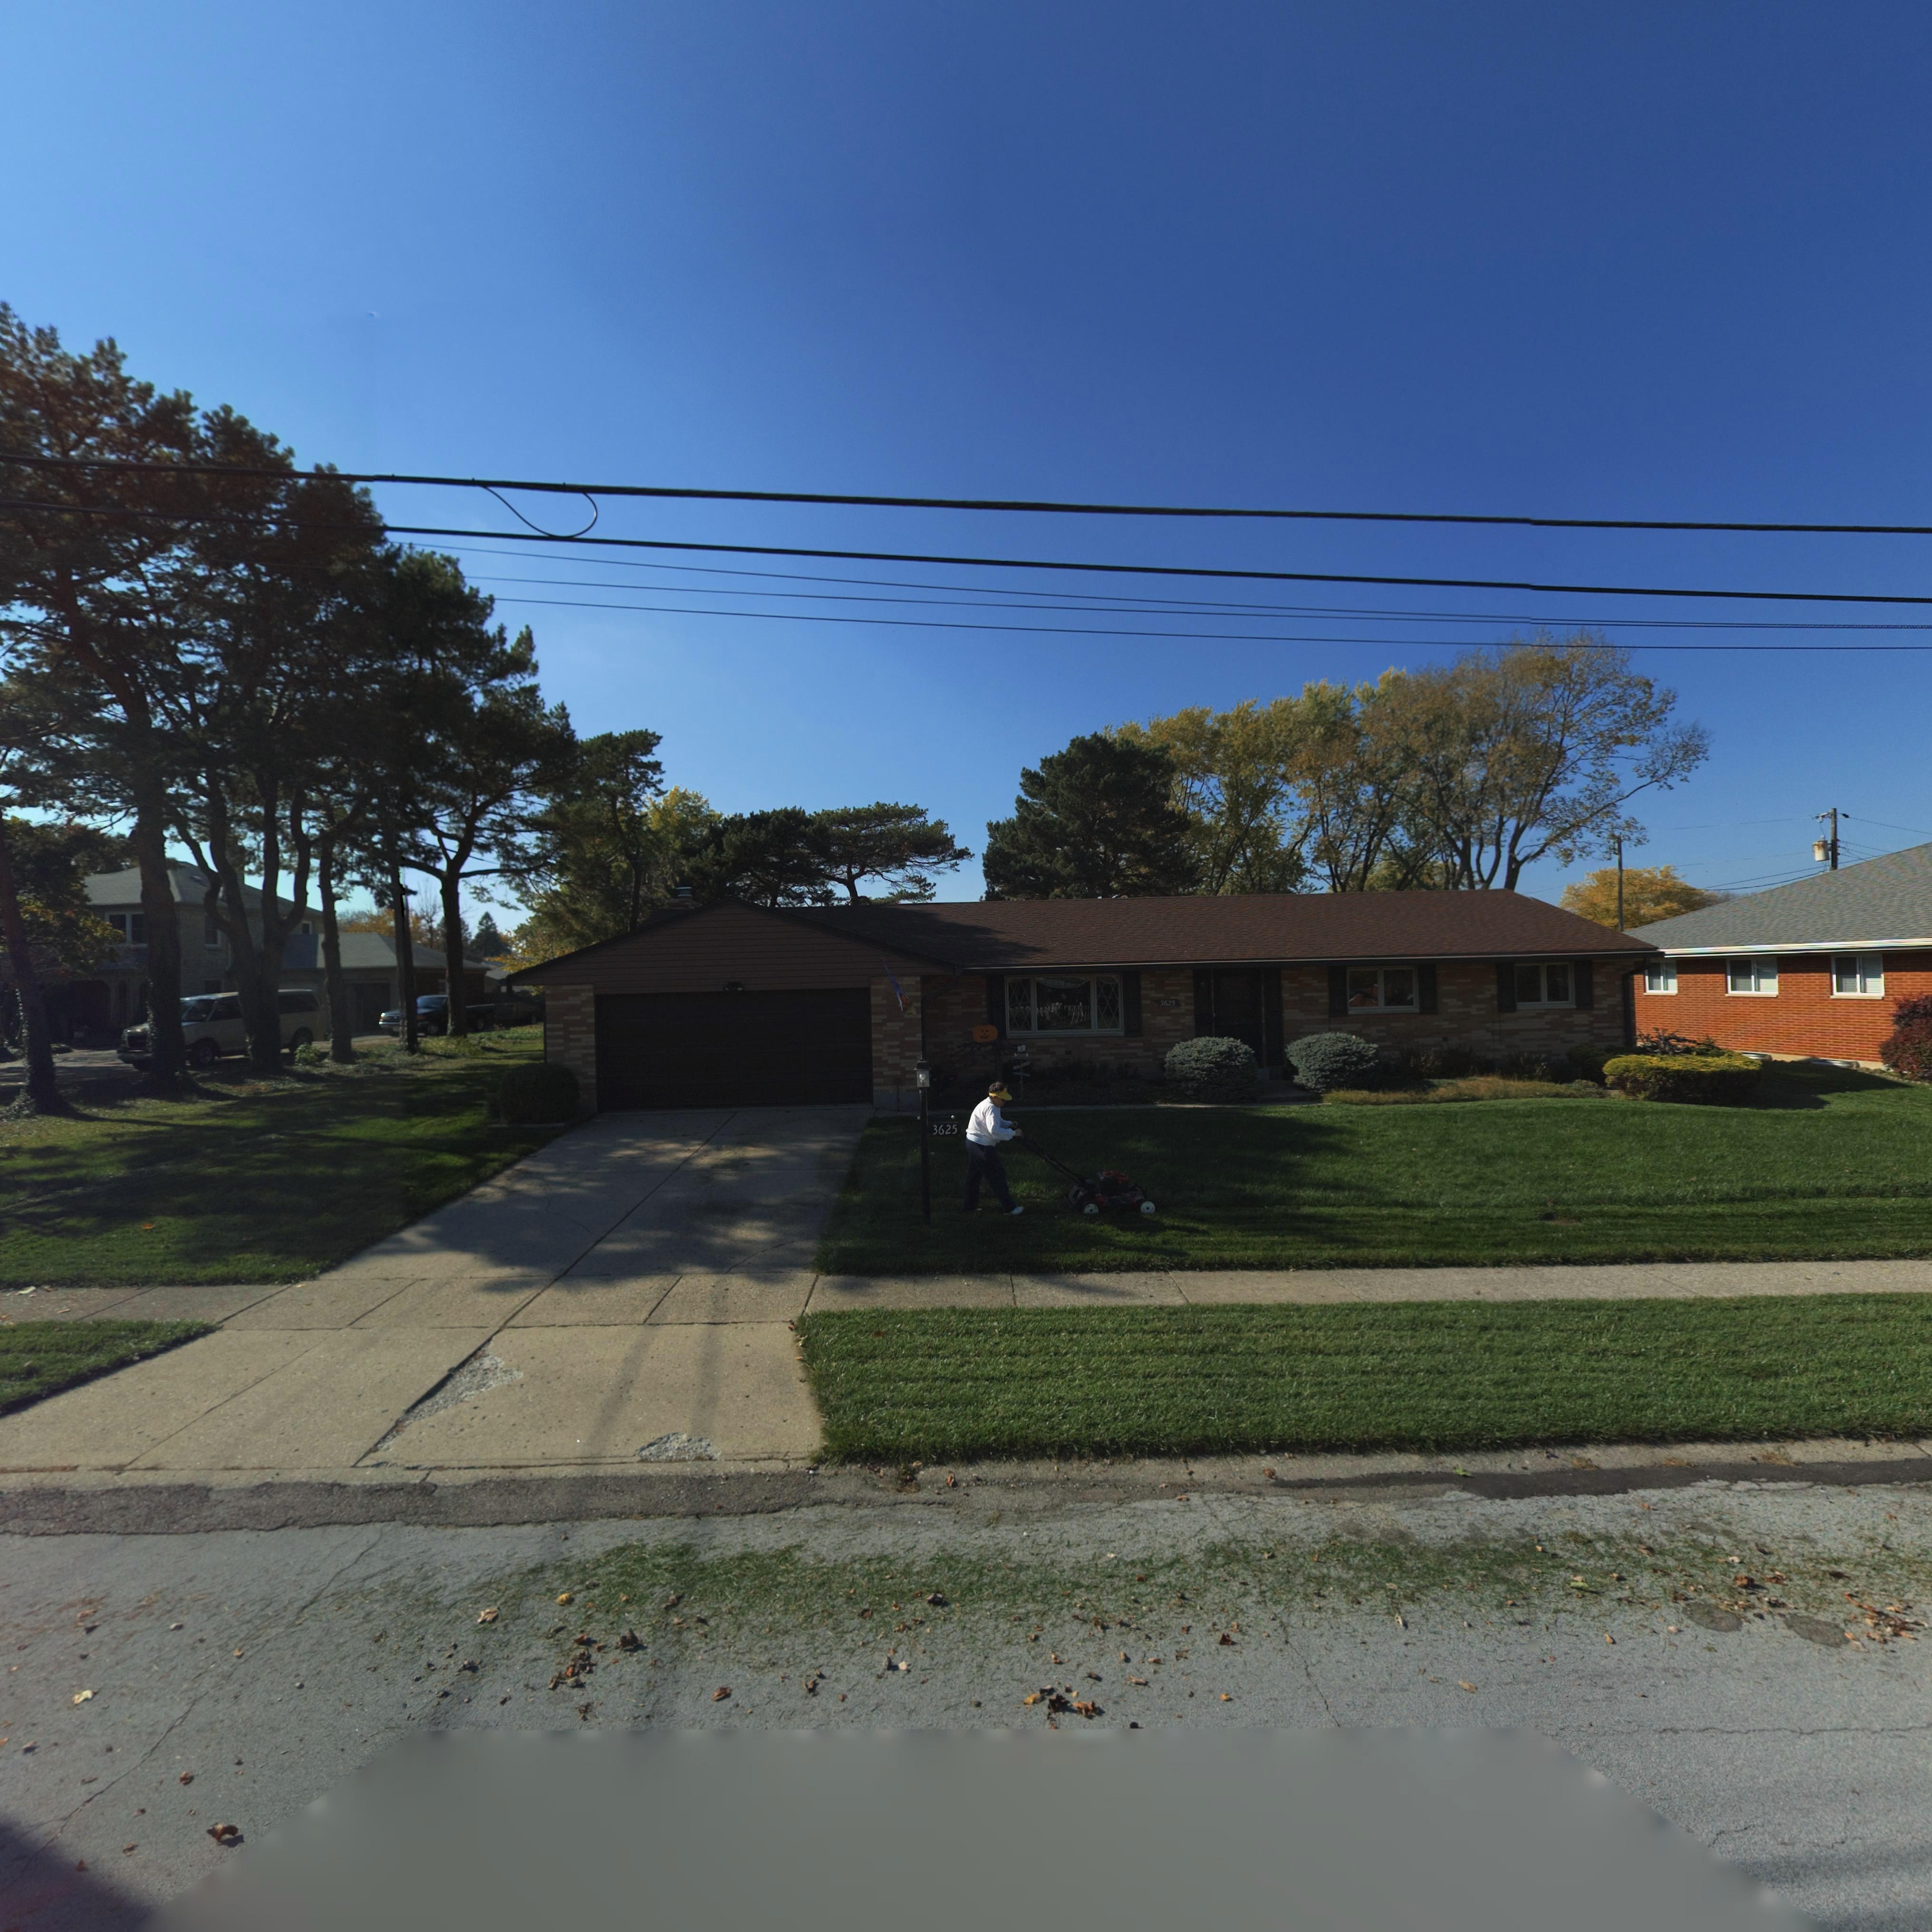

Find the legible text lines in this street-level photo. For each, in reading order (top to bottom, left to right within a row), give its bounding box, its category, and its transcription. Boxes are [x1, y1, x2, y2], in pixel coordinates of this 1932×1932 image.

[1158, 999, 1177, 1007] StreetNumber: 3625
[932, 1123, 958, 1136] StreetNumber: 3625